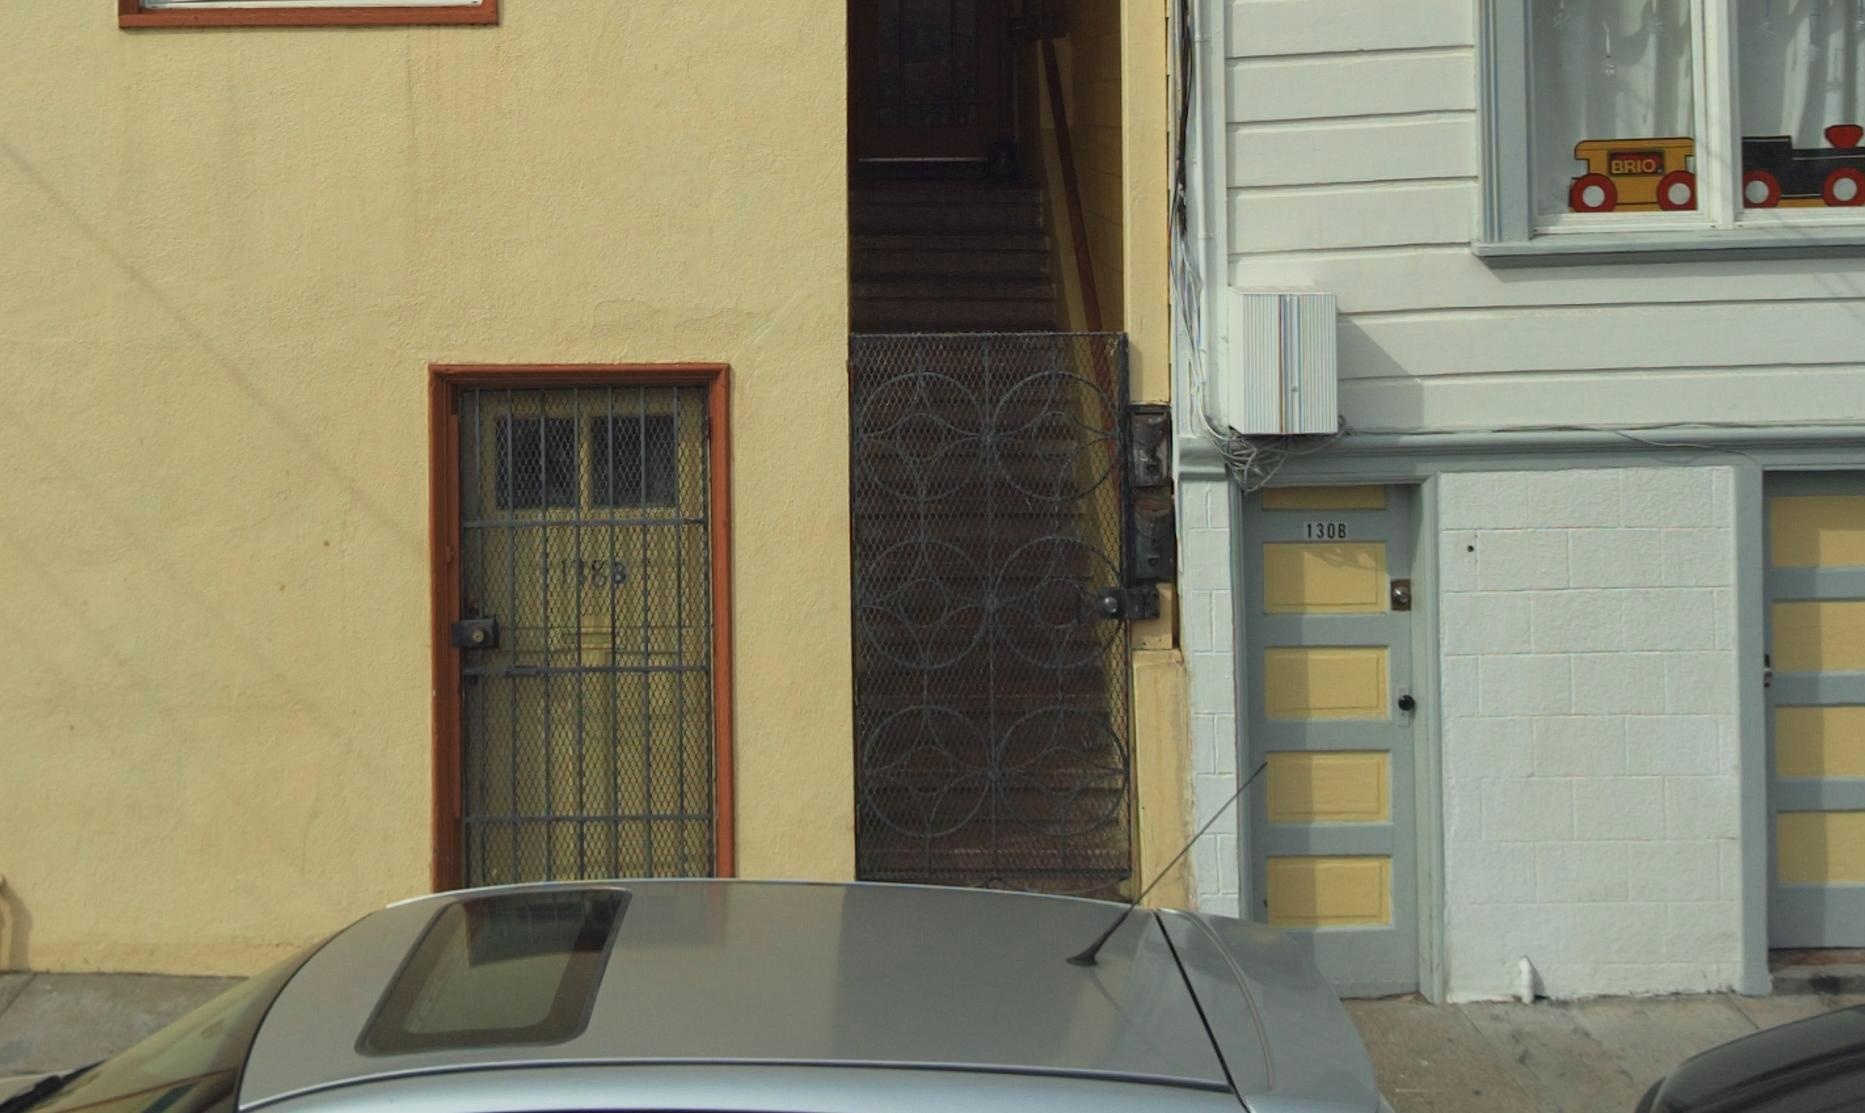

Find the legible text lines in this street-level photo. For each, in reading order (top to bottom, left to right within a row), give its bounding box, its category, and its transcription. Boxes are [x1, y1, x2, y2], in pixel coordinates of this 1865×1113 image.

[1610, 158, 1659, 175] None: BRIO
[1305, 521, 1348, 540] StreetNumber: 130B
[559, 557, 628, 588] StreetNumber: 1*8*